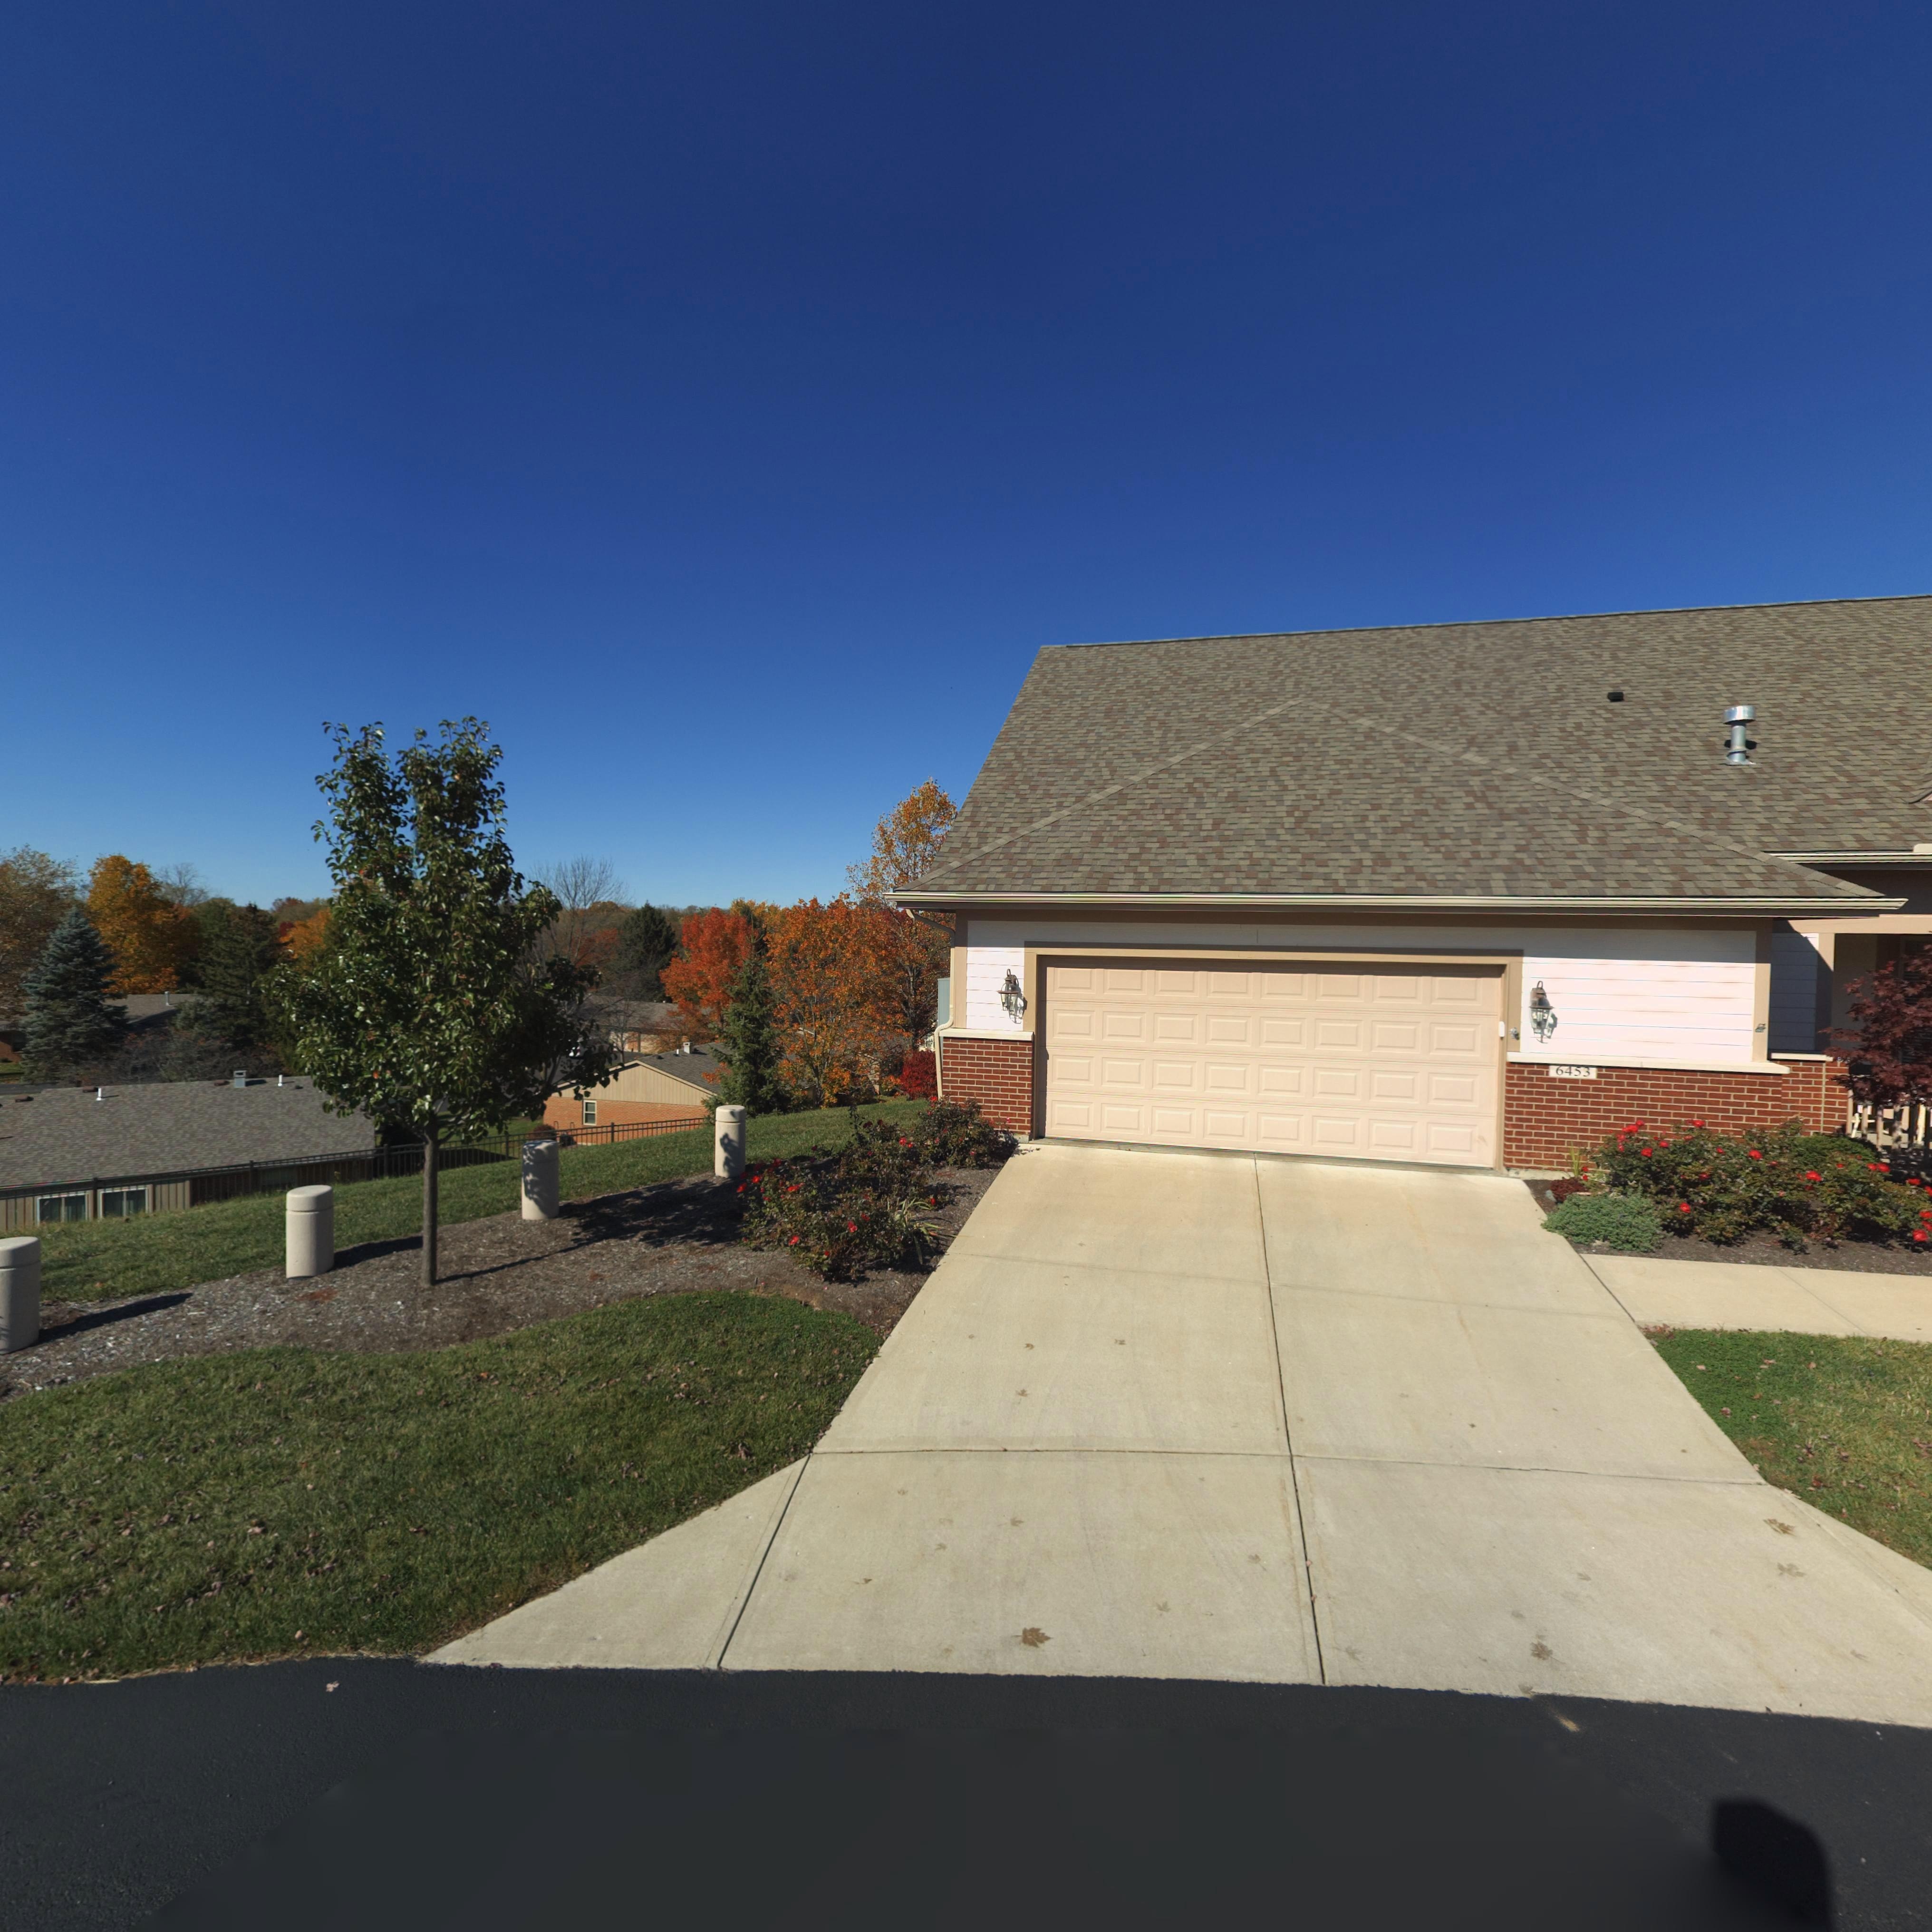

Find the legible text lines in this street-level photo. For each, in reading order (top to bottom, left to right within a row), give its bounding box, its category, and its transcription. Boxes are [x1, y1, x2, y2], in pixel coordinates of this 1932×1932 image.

[1555, 1064, 1591, 1077] StreetNumber: 6453